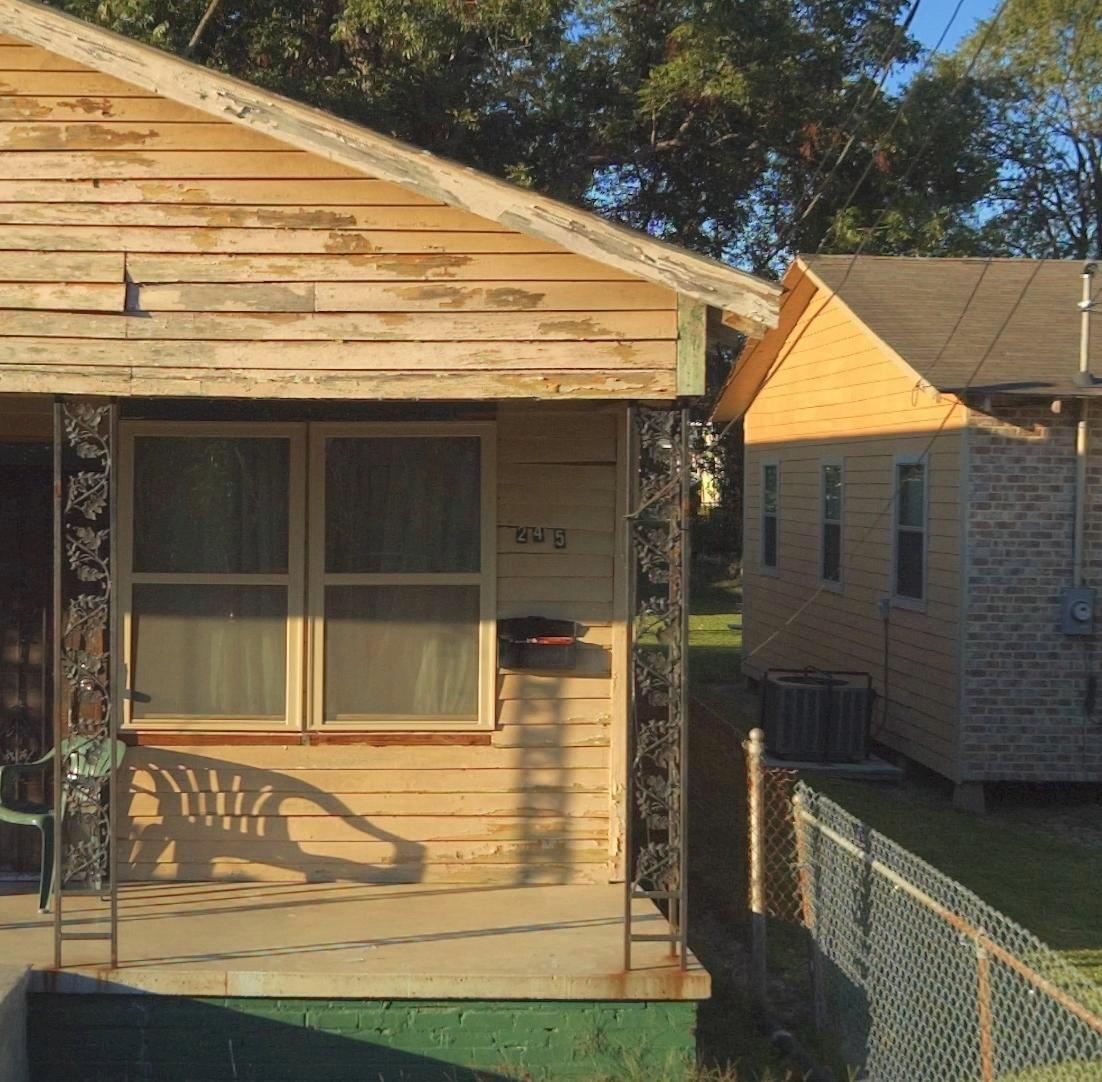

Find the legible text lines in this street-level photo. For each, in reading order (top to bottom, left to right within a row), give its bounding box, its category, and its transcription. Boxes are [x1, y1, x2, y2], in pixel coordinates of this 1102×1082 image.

[515, 524, 566, 548] StreetNumber: 245